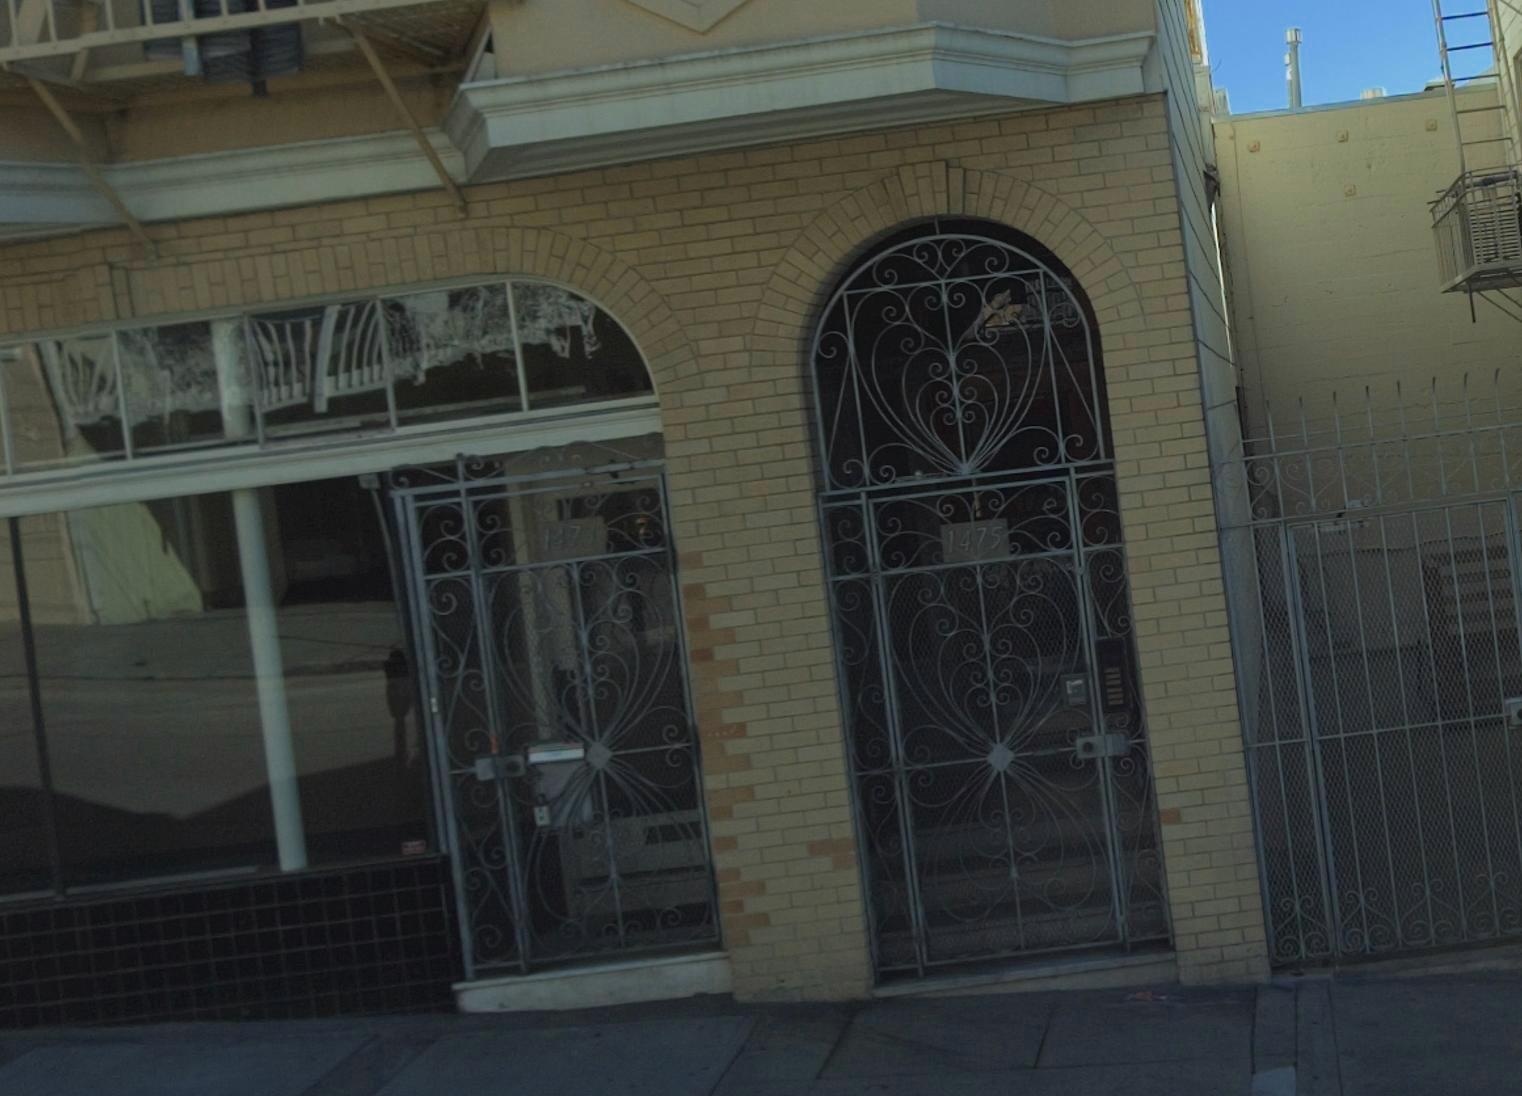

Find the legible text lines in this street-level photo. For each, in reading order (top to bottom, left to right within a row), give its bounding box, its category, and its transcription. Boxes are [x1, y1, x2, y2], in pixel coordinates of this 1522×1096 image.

[542, 523, 598, 553] StreetNumber: 1473
[945, 524, 1005, 556] StreetNumber: 1475